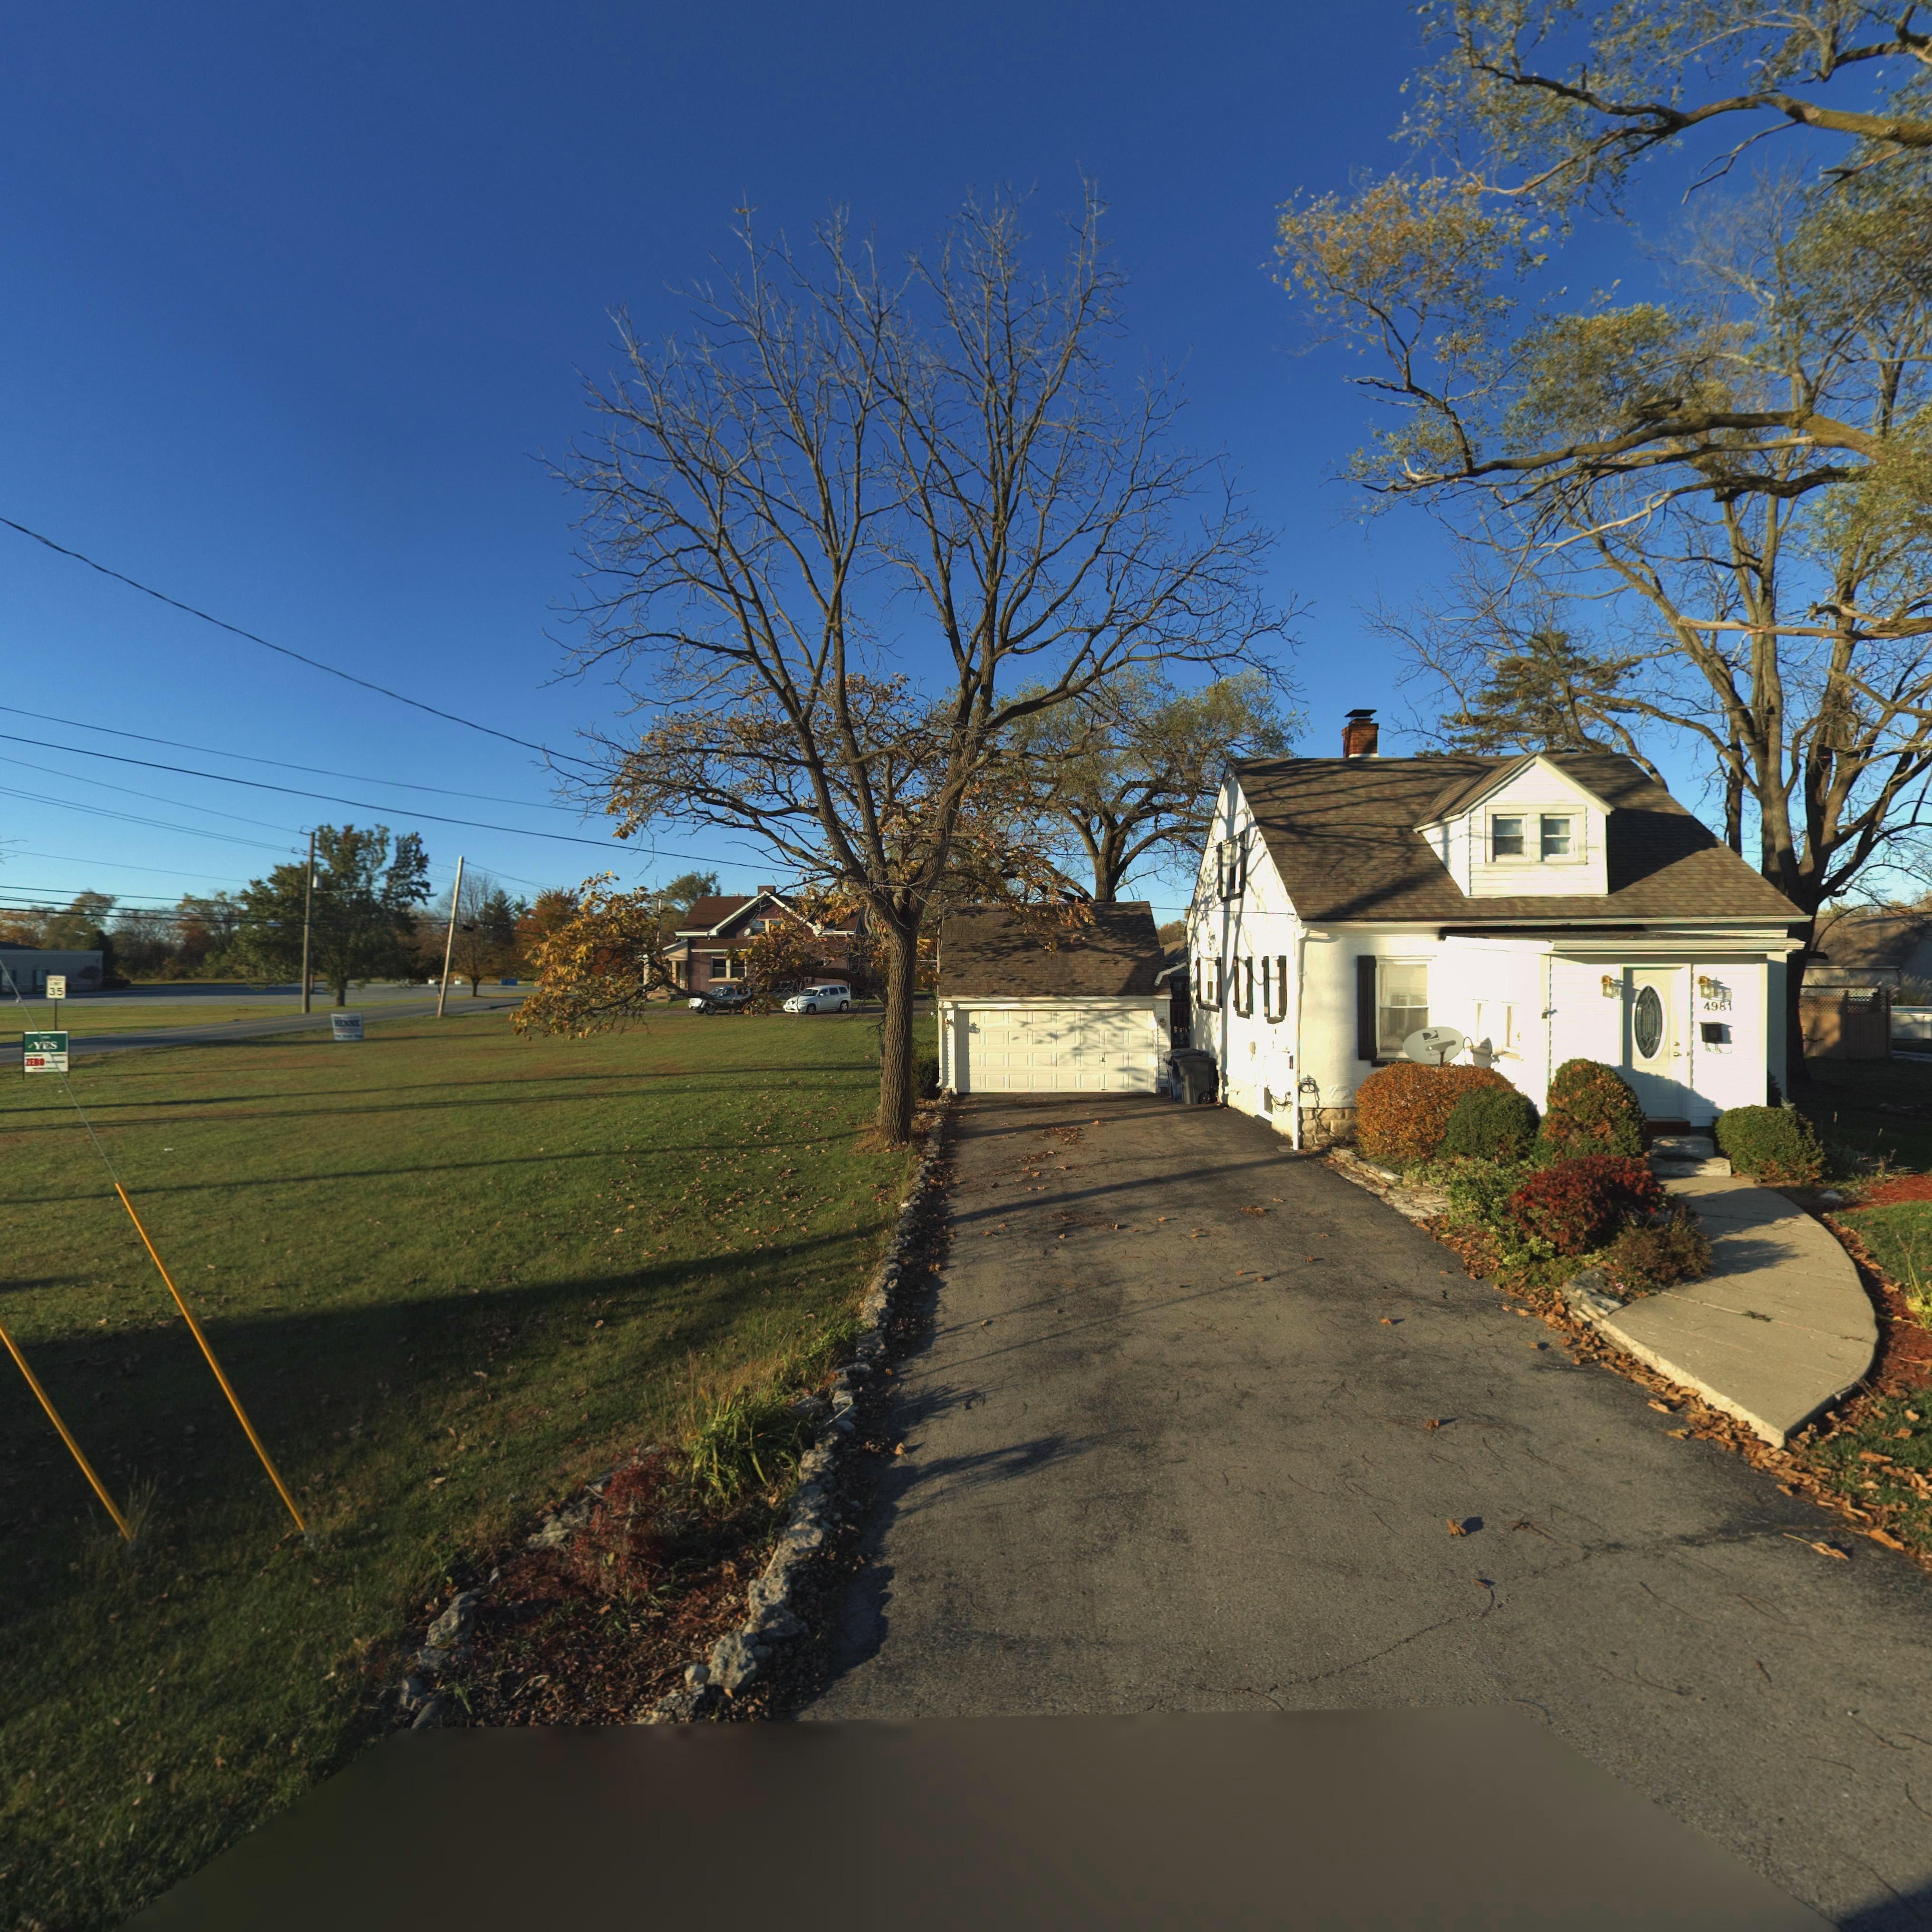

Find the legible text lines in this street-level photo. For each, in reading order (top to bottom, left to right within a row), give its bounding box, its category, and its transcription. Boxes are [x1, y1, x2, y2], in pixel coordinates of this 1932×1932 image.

[1703, 1001, 1732, 1011] StreetNumber: 4981